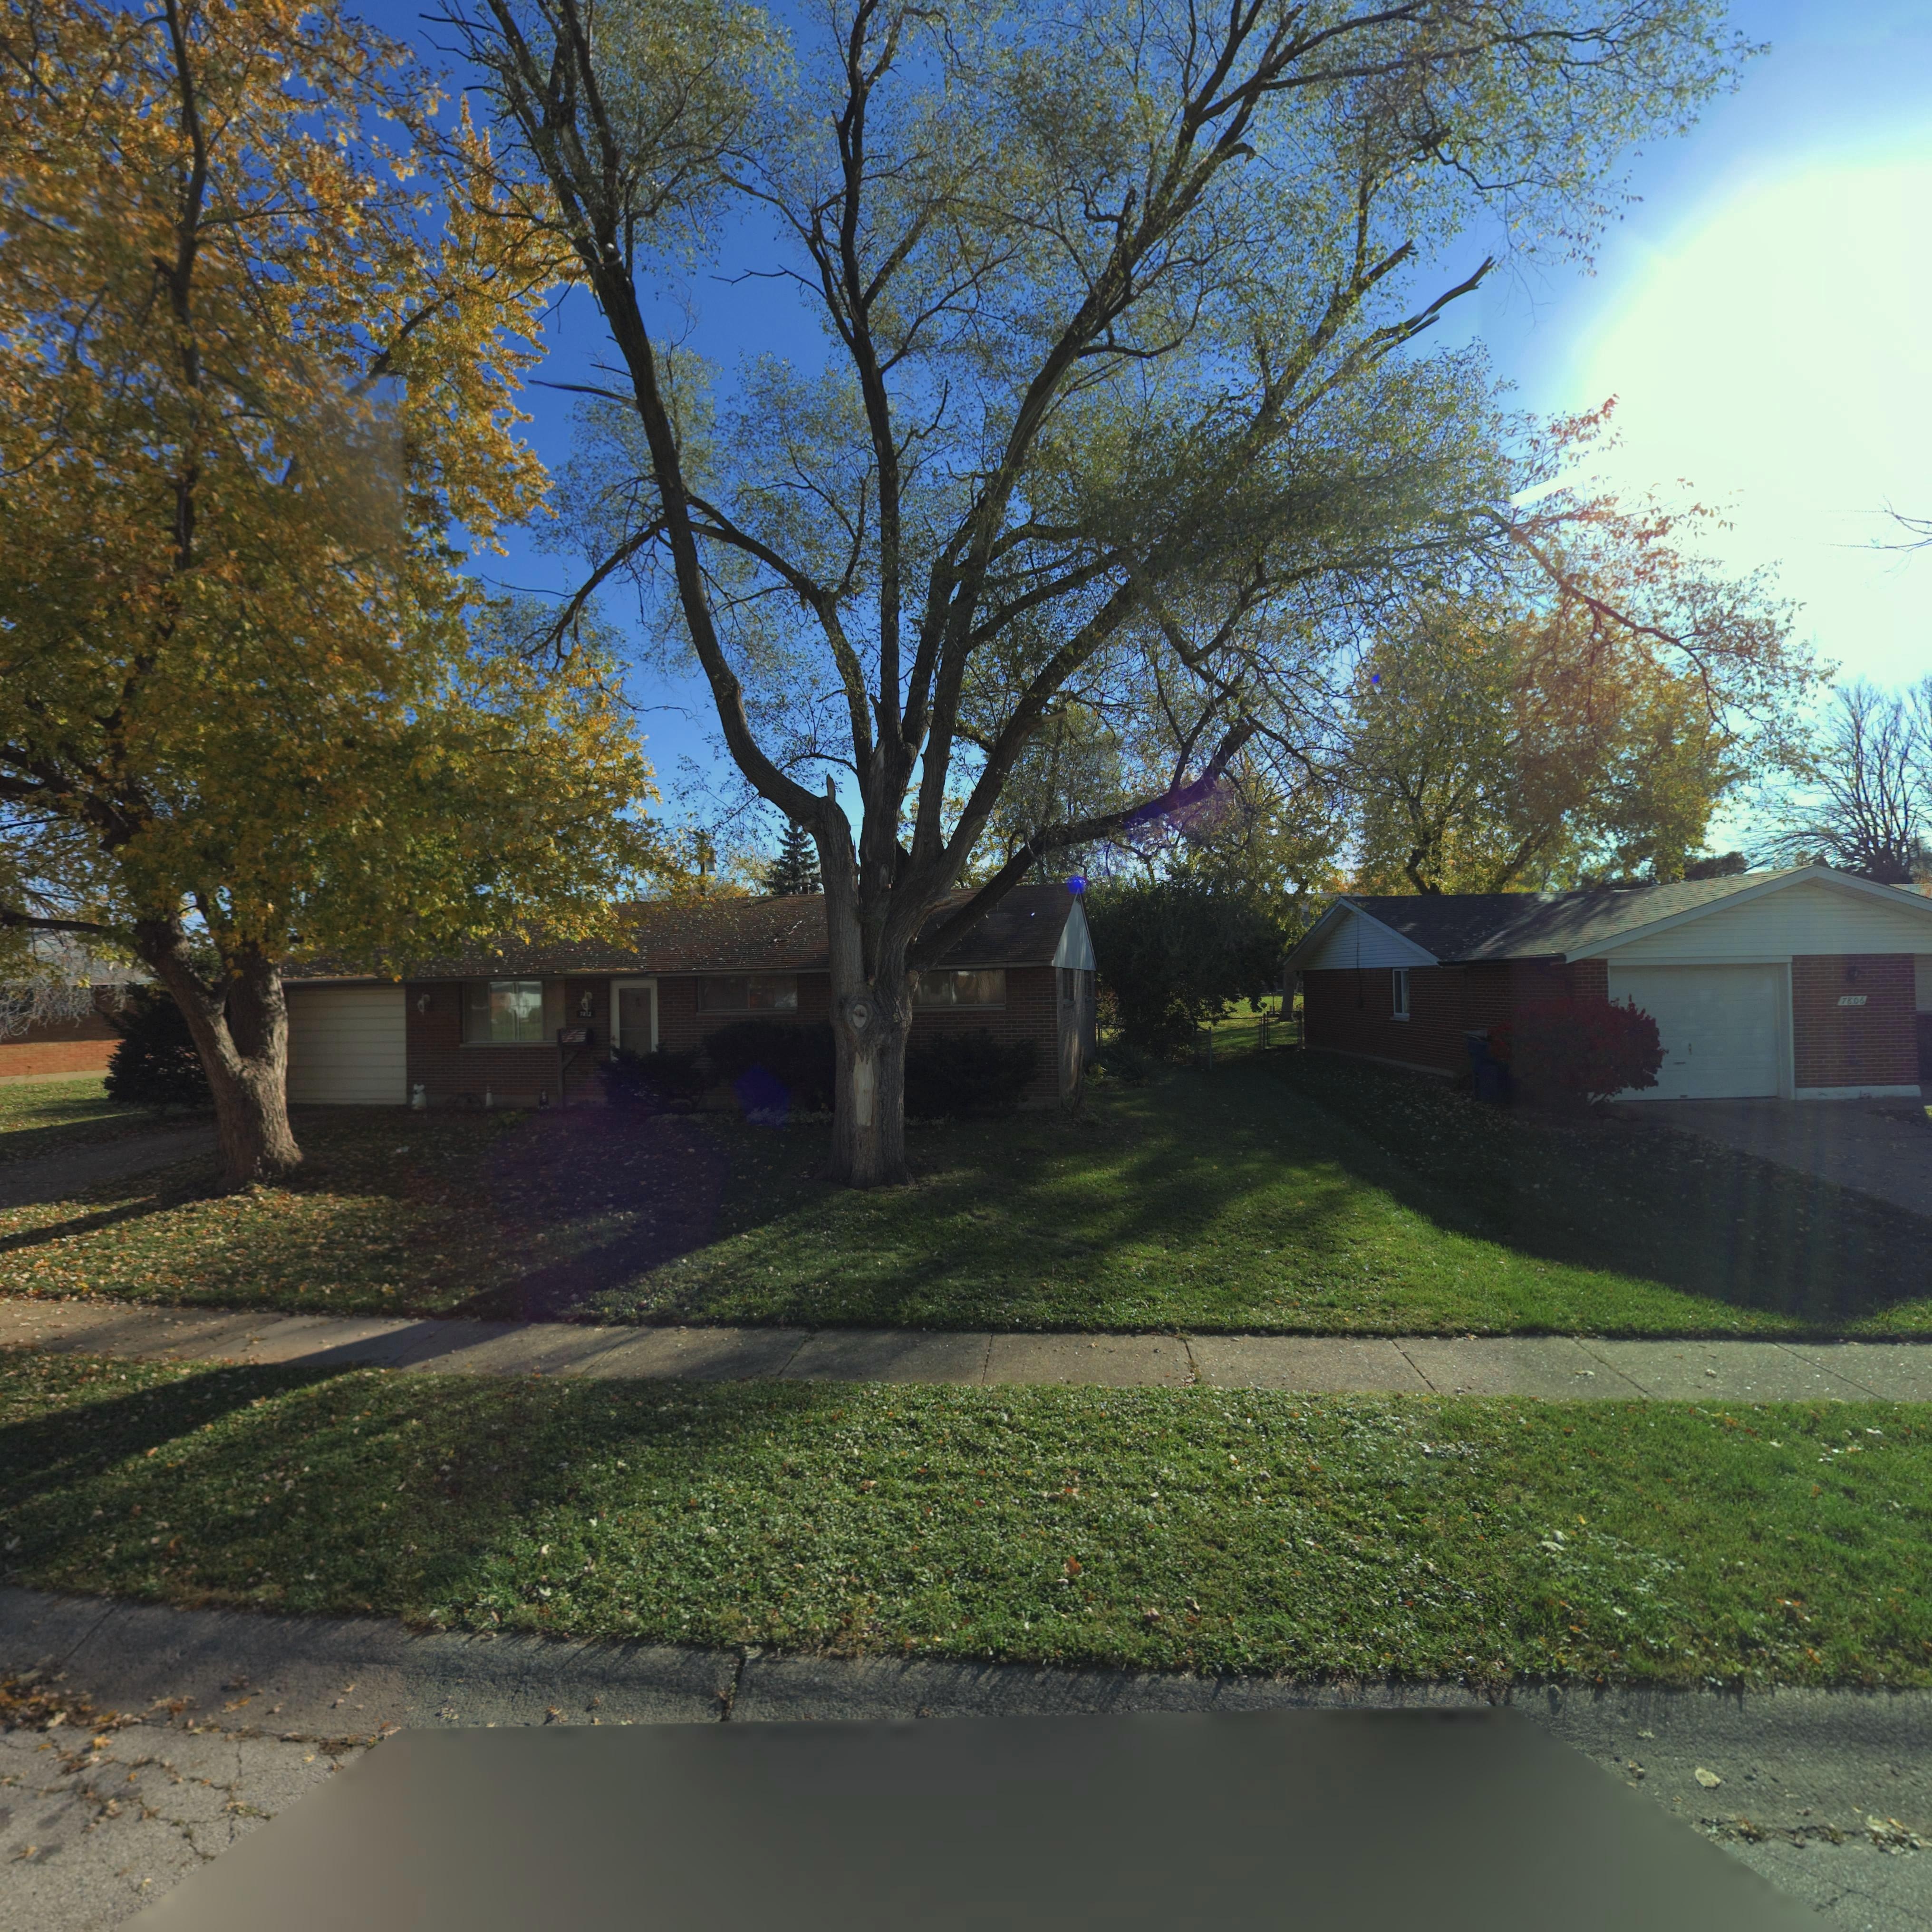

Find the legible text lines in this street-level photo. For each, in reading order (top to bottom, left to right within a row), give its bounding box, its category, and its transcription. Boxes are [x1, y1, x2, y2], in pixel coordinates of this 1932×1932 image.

[1841, 996, 1867, 1005] StreetNumber: 7806
[579, 1011, 592, 1017] StreetNumber: 7812